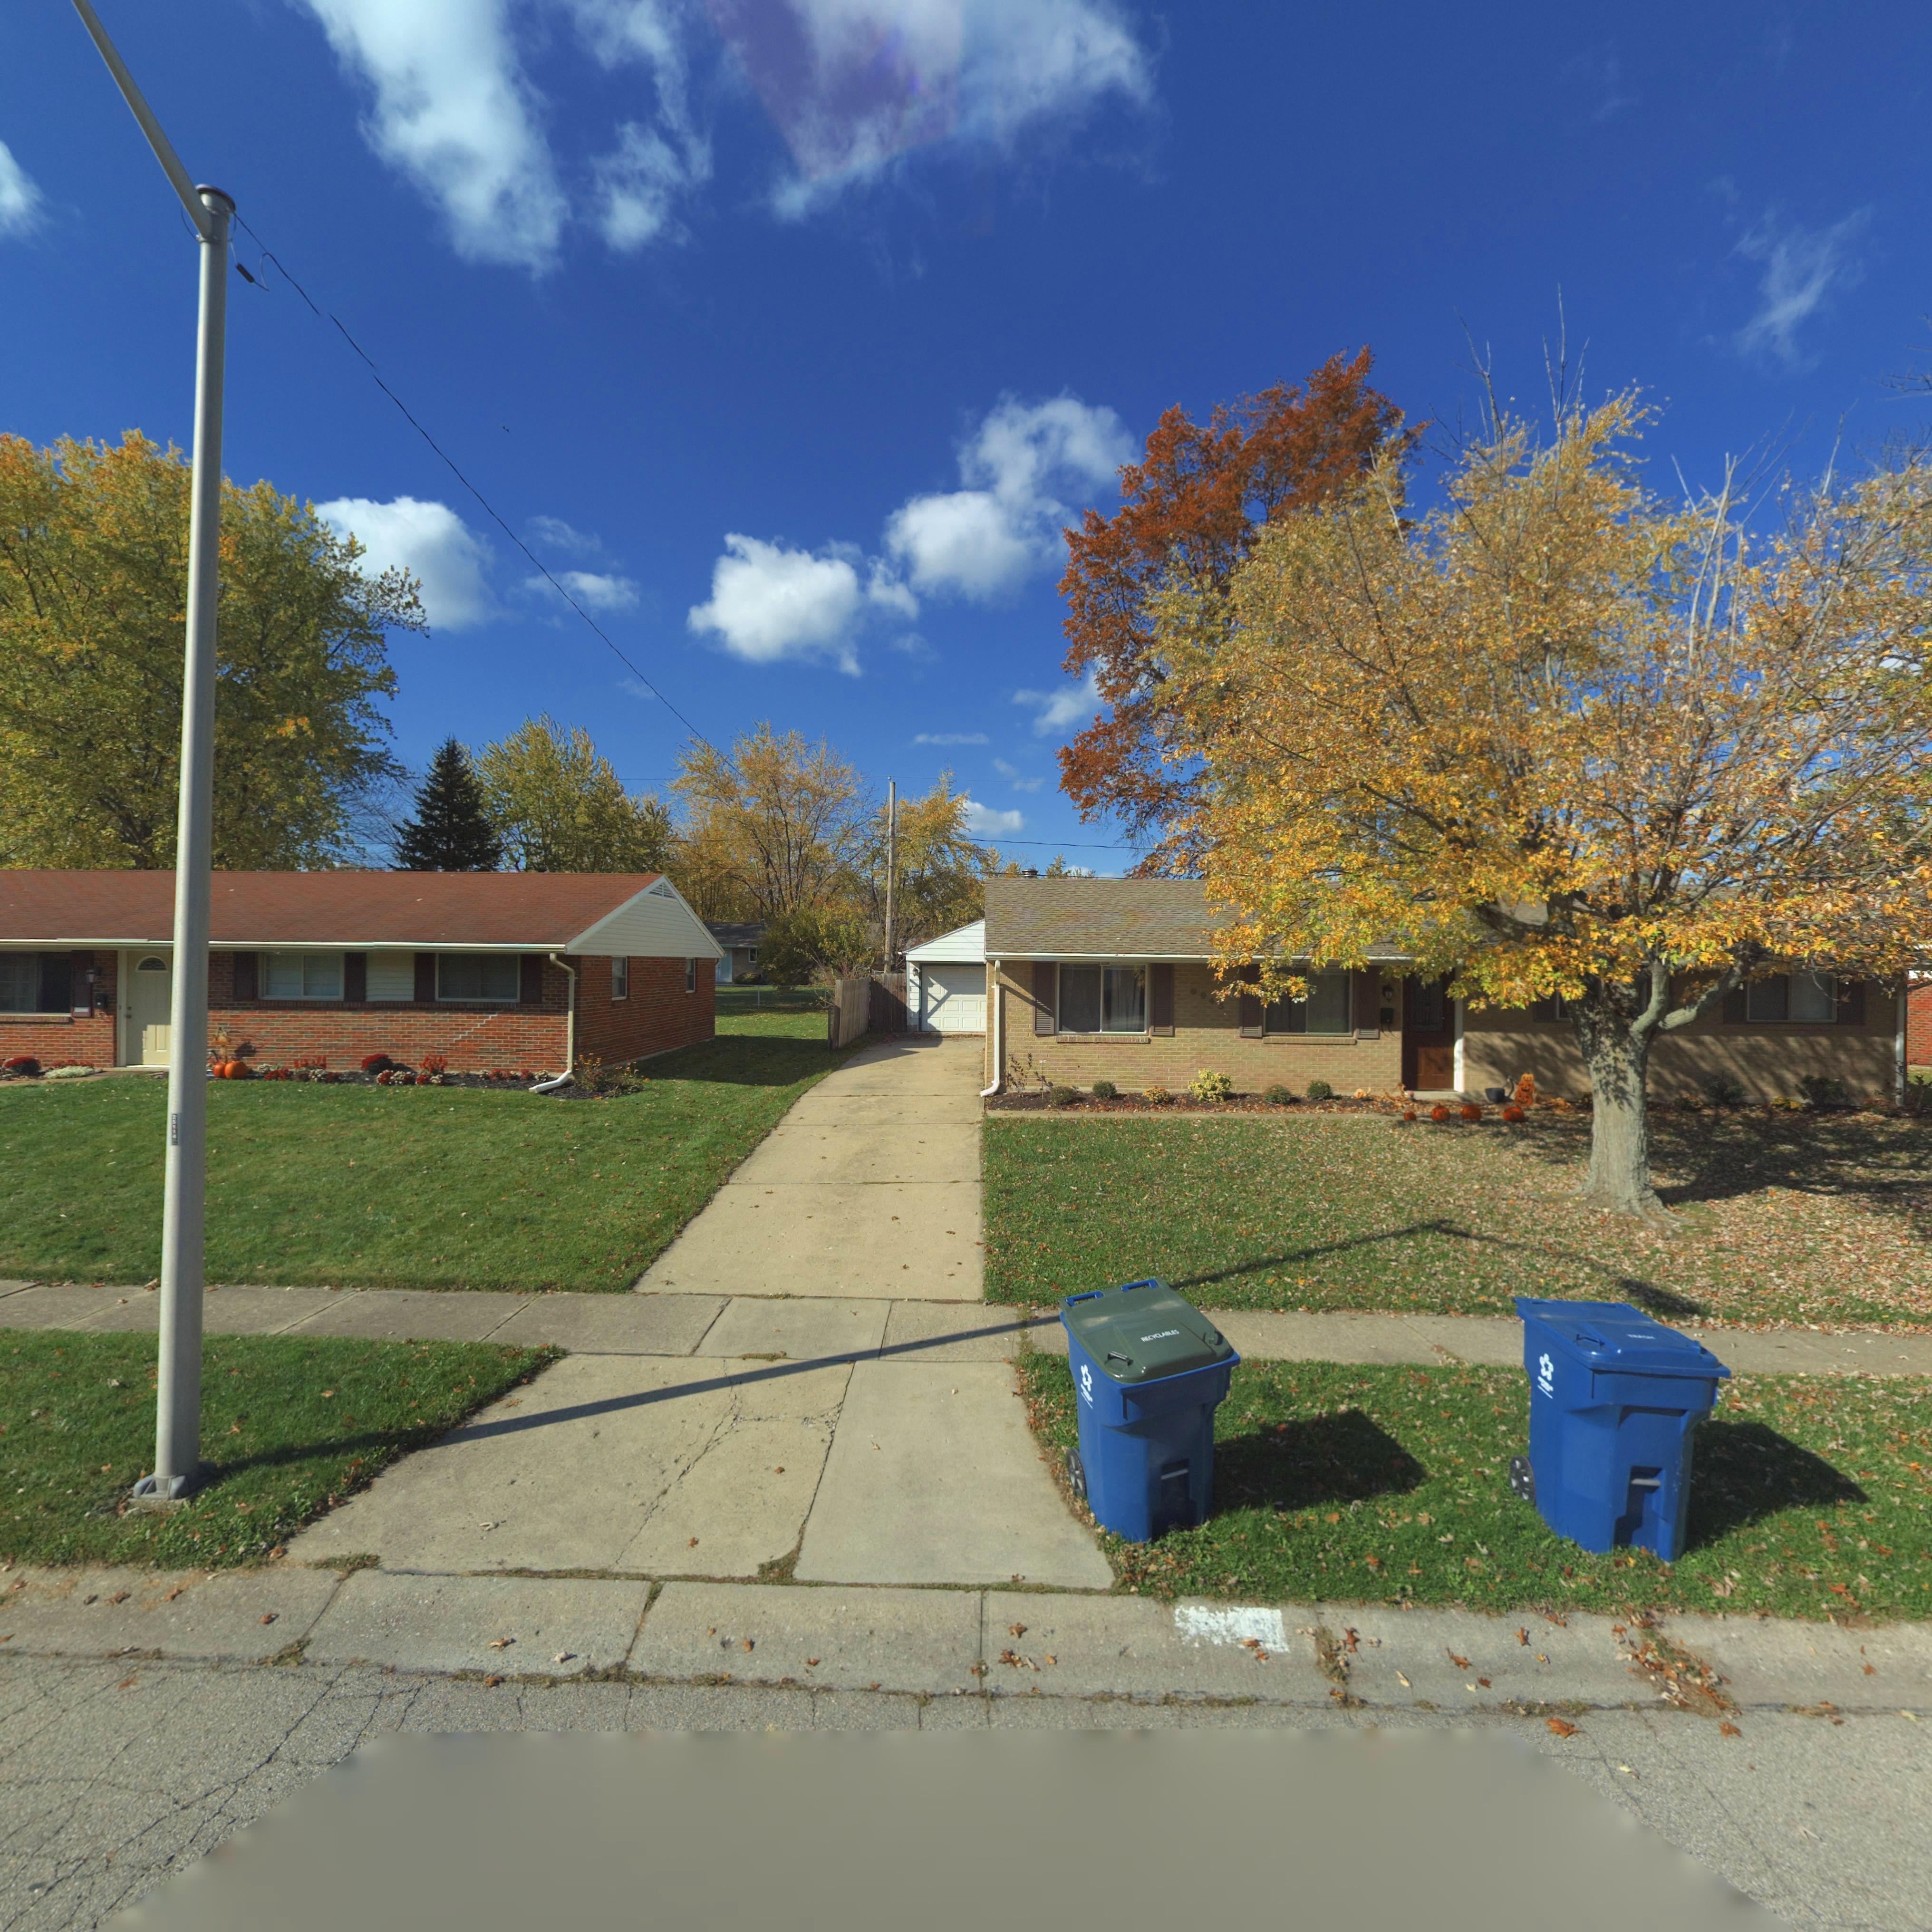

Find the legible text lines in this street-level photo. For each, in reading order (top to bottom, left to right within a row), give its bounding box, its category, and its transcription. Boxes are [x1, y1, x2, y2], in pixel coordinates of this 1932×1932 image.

[1188, 986, 1226, 1011] StreetNumber: **4*